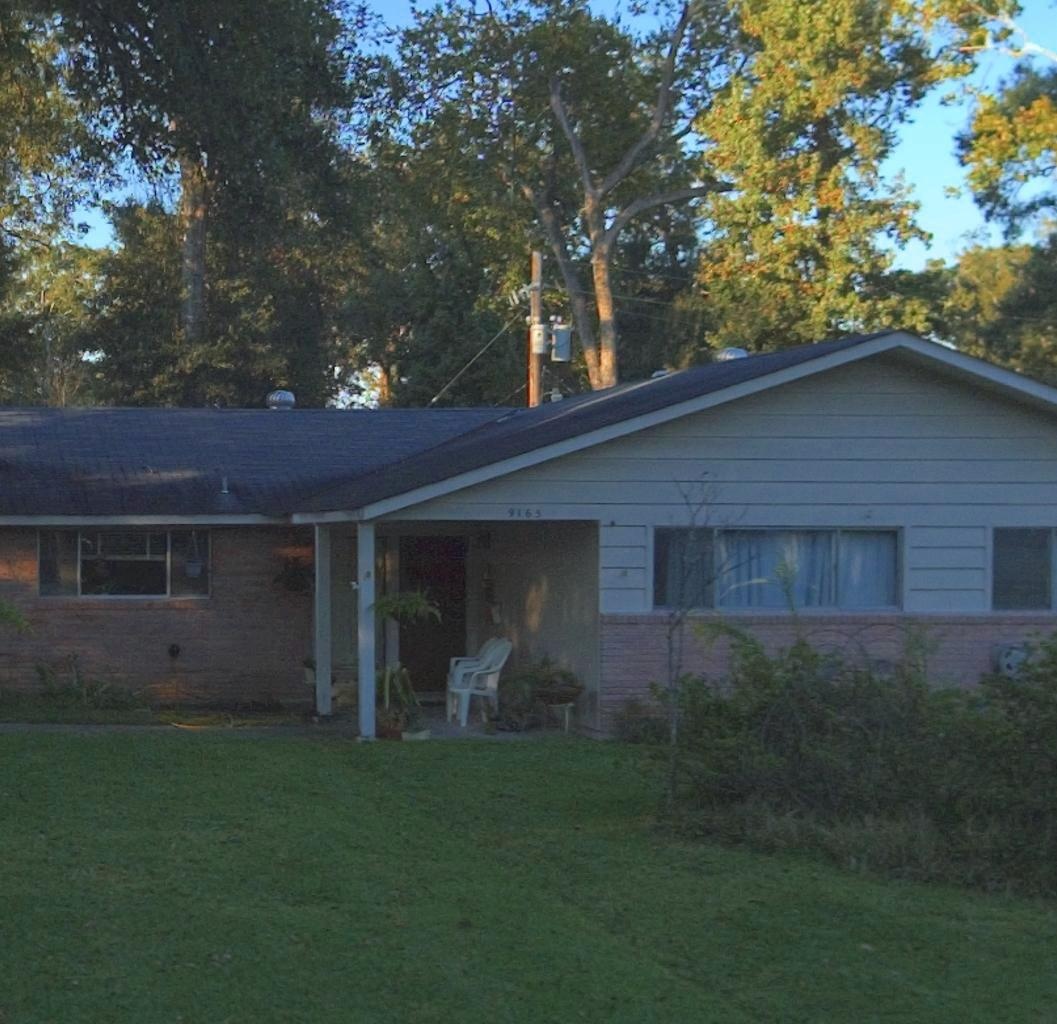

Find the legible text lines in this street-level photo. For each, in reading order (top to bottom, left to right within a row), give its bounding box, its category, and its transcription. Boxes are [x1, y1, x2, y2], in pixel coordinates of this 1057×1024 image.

[508, 507, 542, 519] StreetNumber: 9165